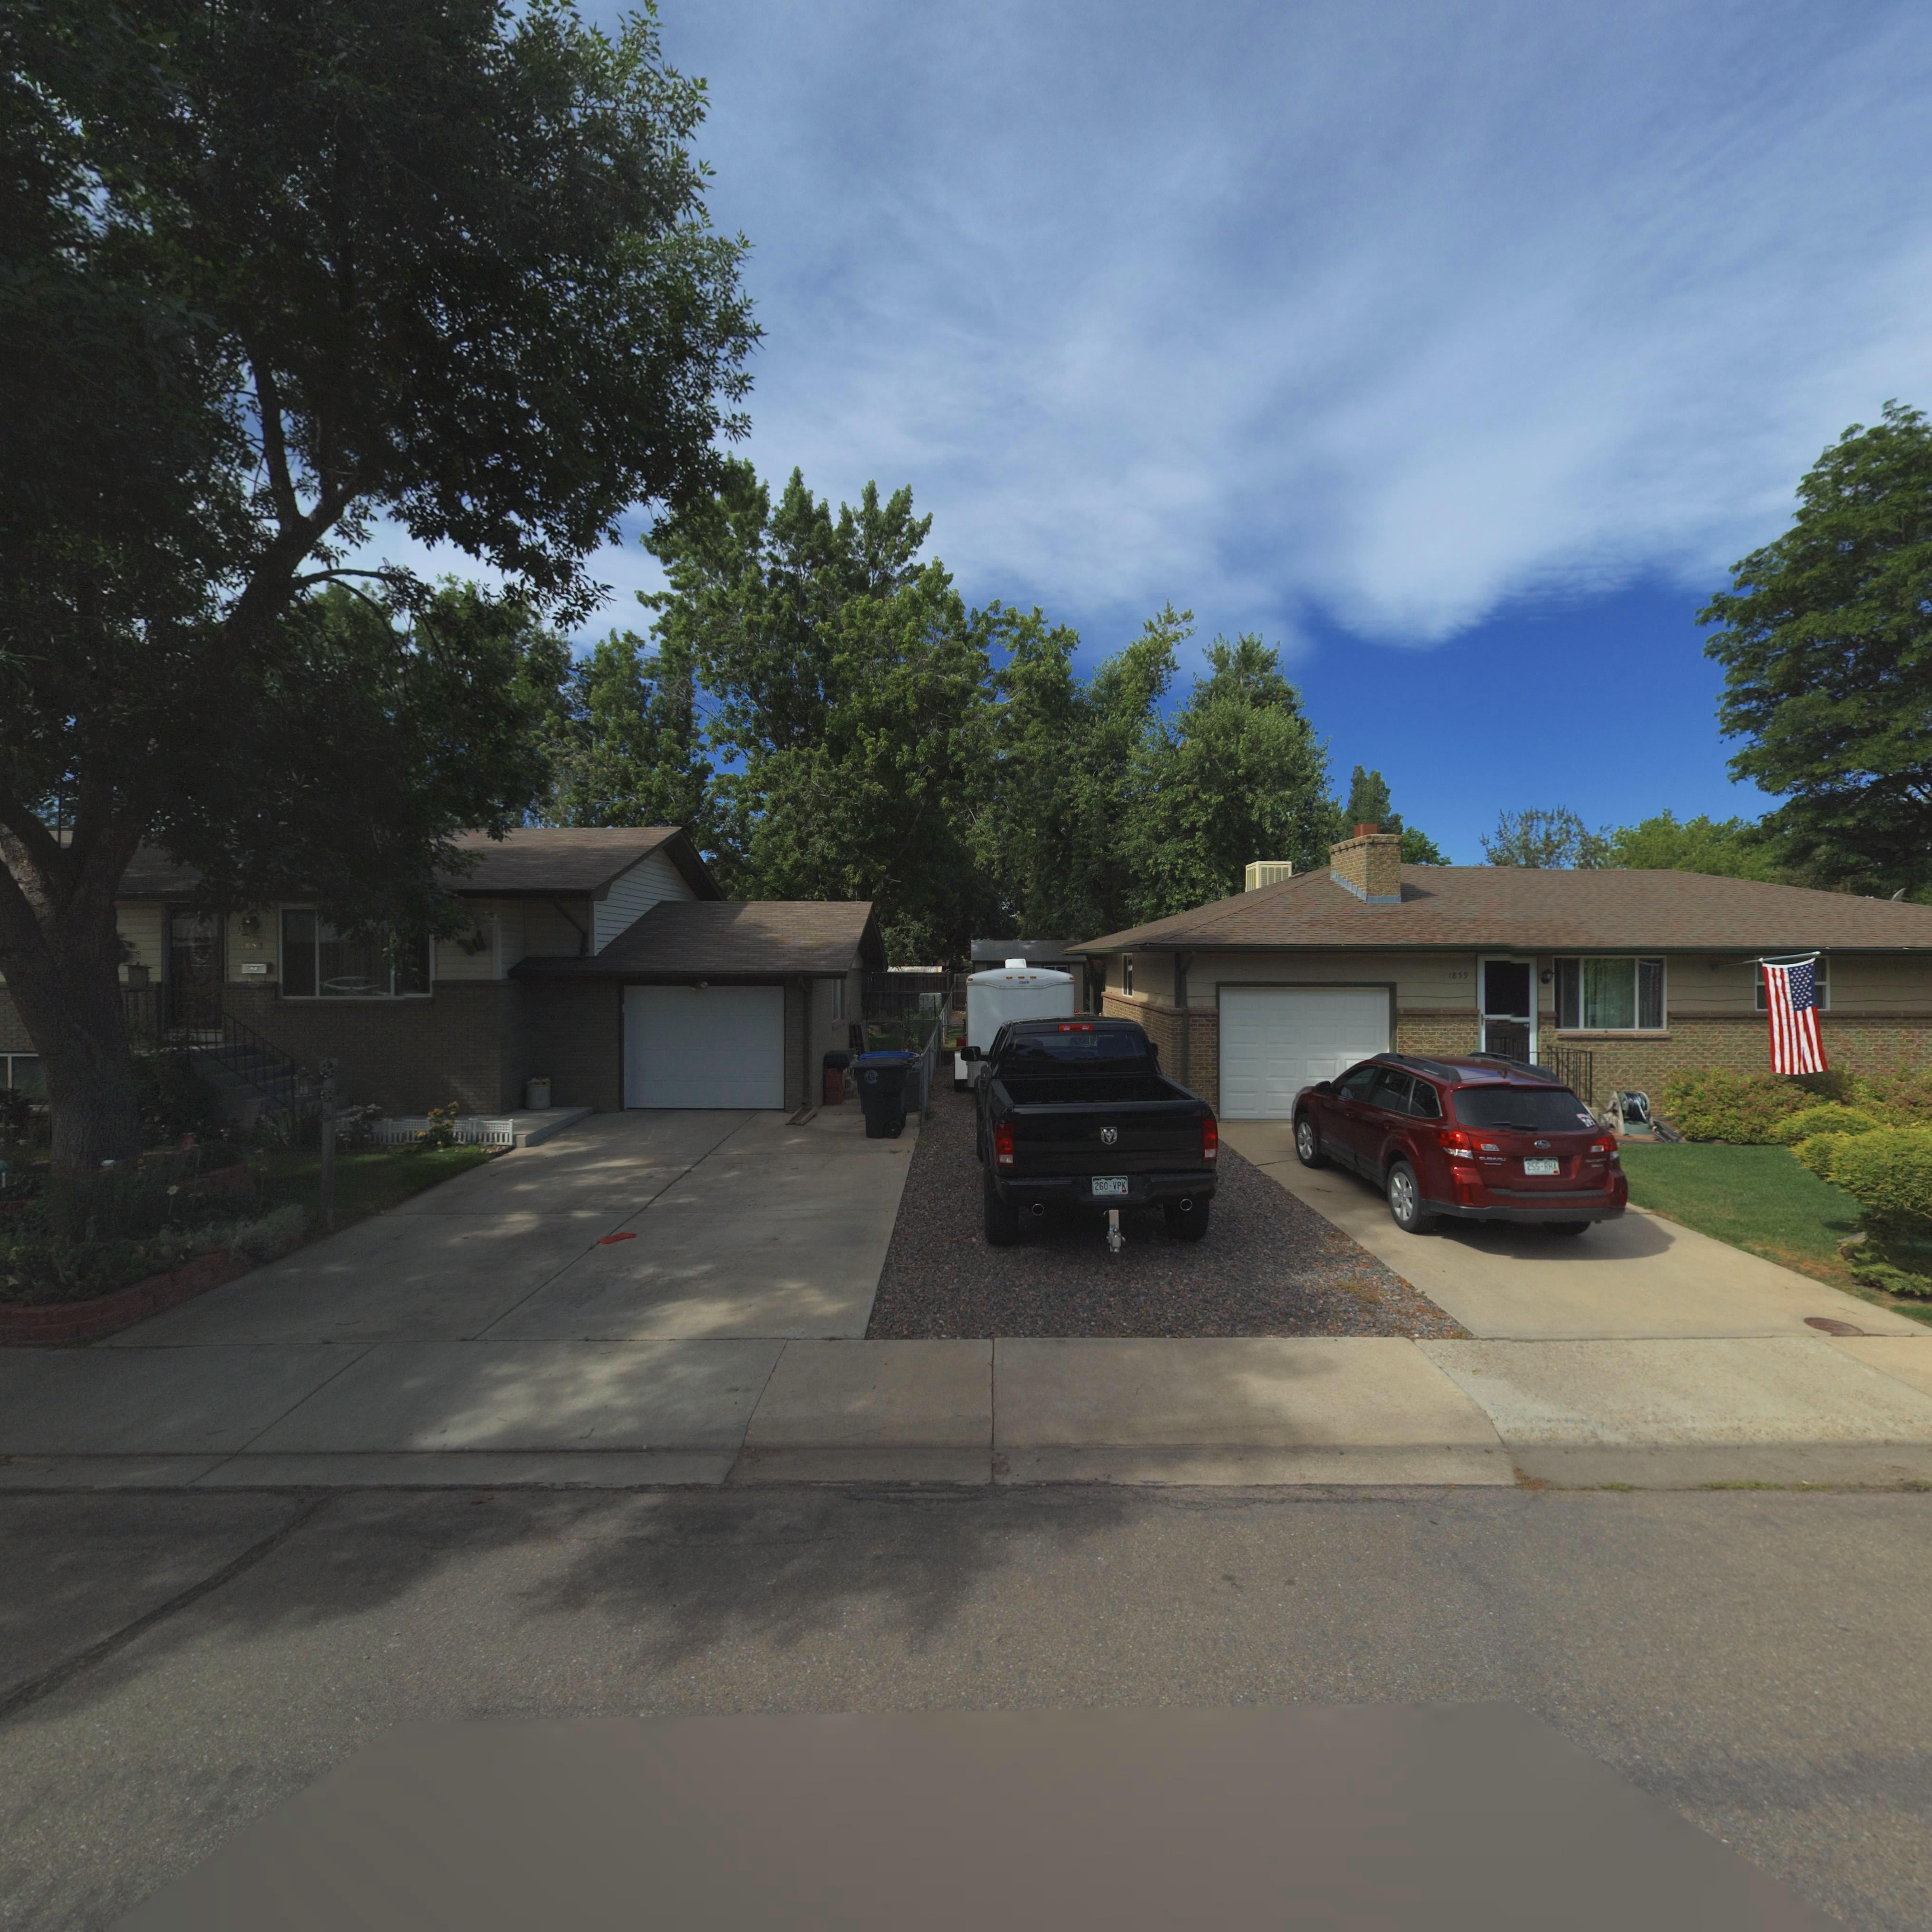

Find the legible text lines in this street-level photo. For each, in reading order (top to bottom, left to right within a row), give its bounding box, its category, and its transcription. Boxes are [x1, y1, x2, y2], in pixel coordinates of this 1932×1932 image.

[240, 942, 262, 949] StreetNumber: *85*
[1449, 972, 1467, 978] StreetNumber: 1859